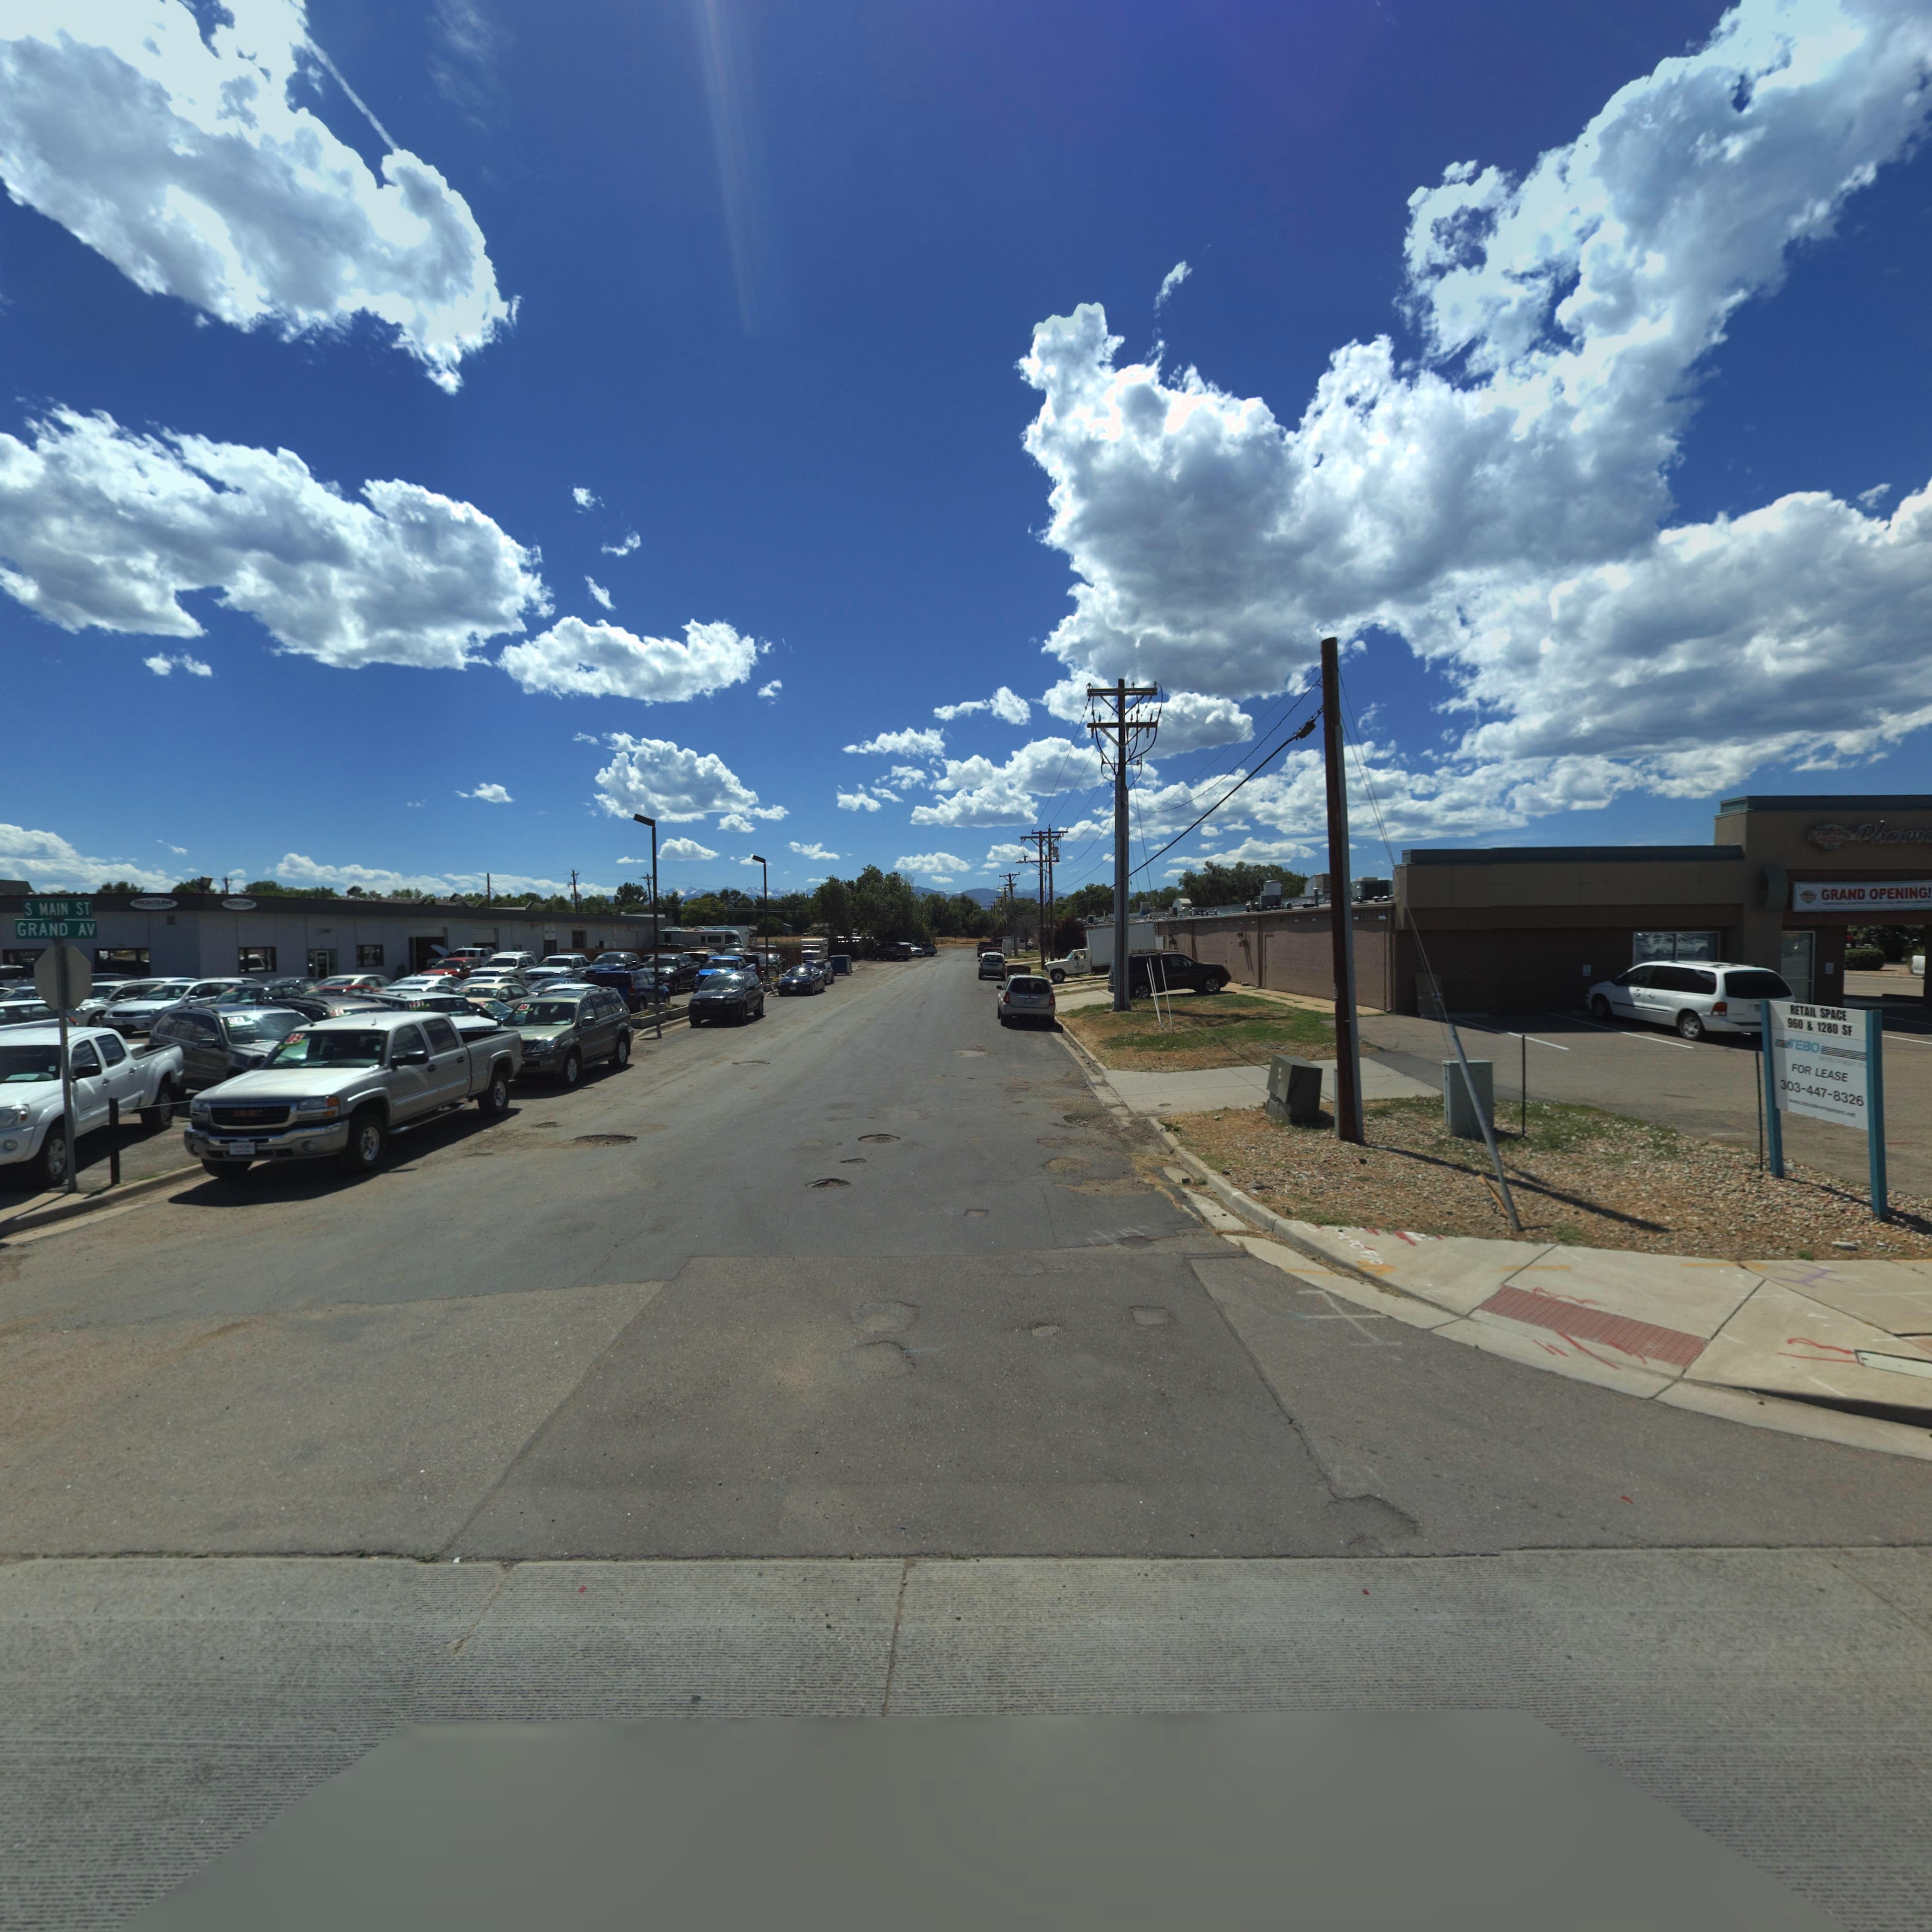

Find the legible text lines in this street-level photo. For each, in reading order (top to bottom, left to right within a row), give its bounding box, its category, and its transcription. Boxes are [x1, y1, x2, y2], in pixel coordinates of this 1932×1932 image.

[1858, 819, 1926, 844] BusinessName: Pharm
[24, 901, 90, 916] StreetName: S MAIN ST
[133, 899, 174, 906] BusinessName: FRONTLINE
[17, 922, 95, 936] StreetName: GRAND AV